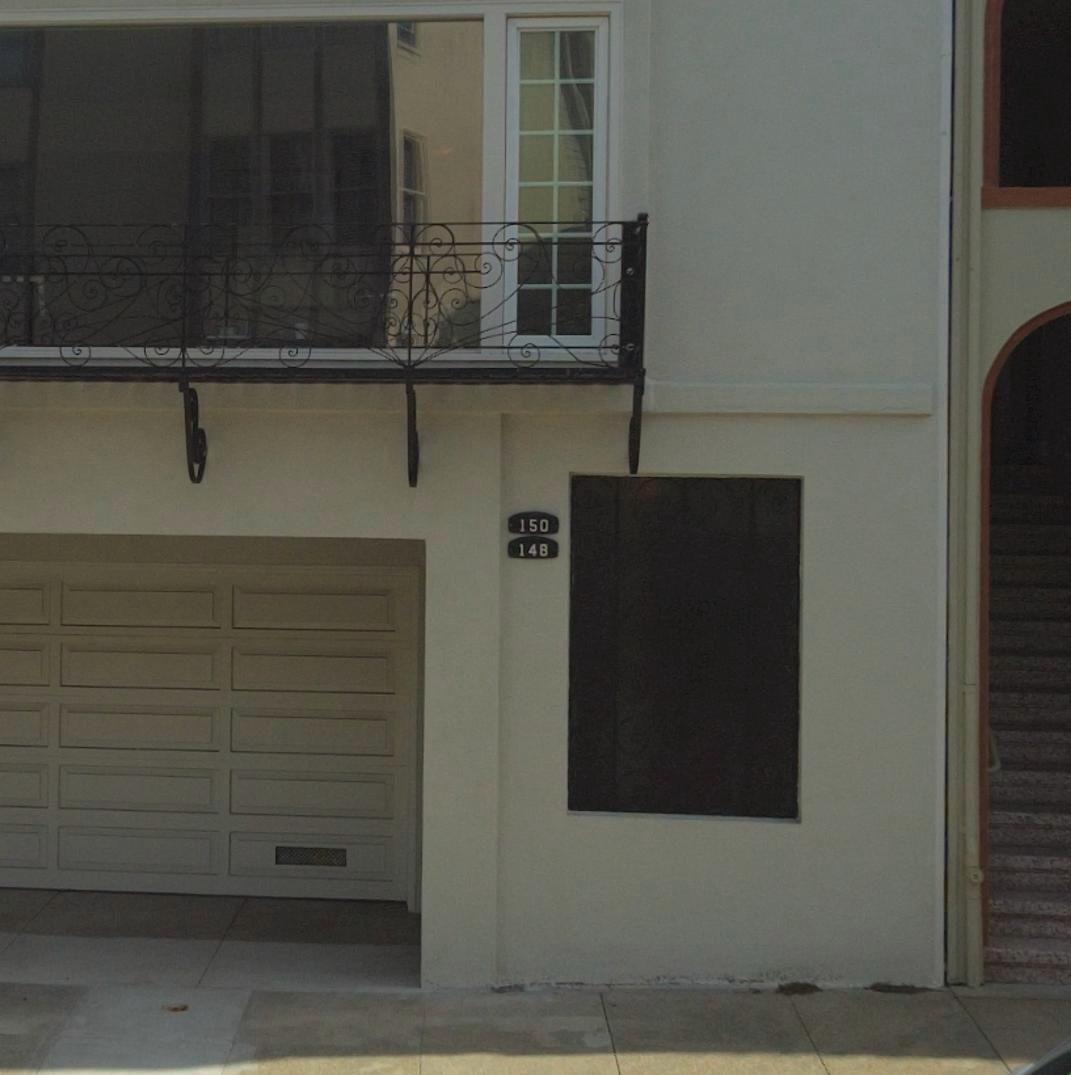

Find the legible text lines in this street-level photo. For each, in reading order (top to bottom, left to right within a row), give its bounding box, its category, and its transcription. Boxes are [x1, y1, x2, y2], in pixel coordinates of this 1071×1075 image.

[518, 517, 551, 535] StreetNumber: 150
[517, 541, 550, 559] StreetNumber: 148